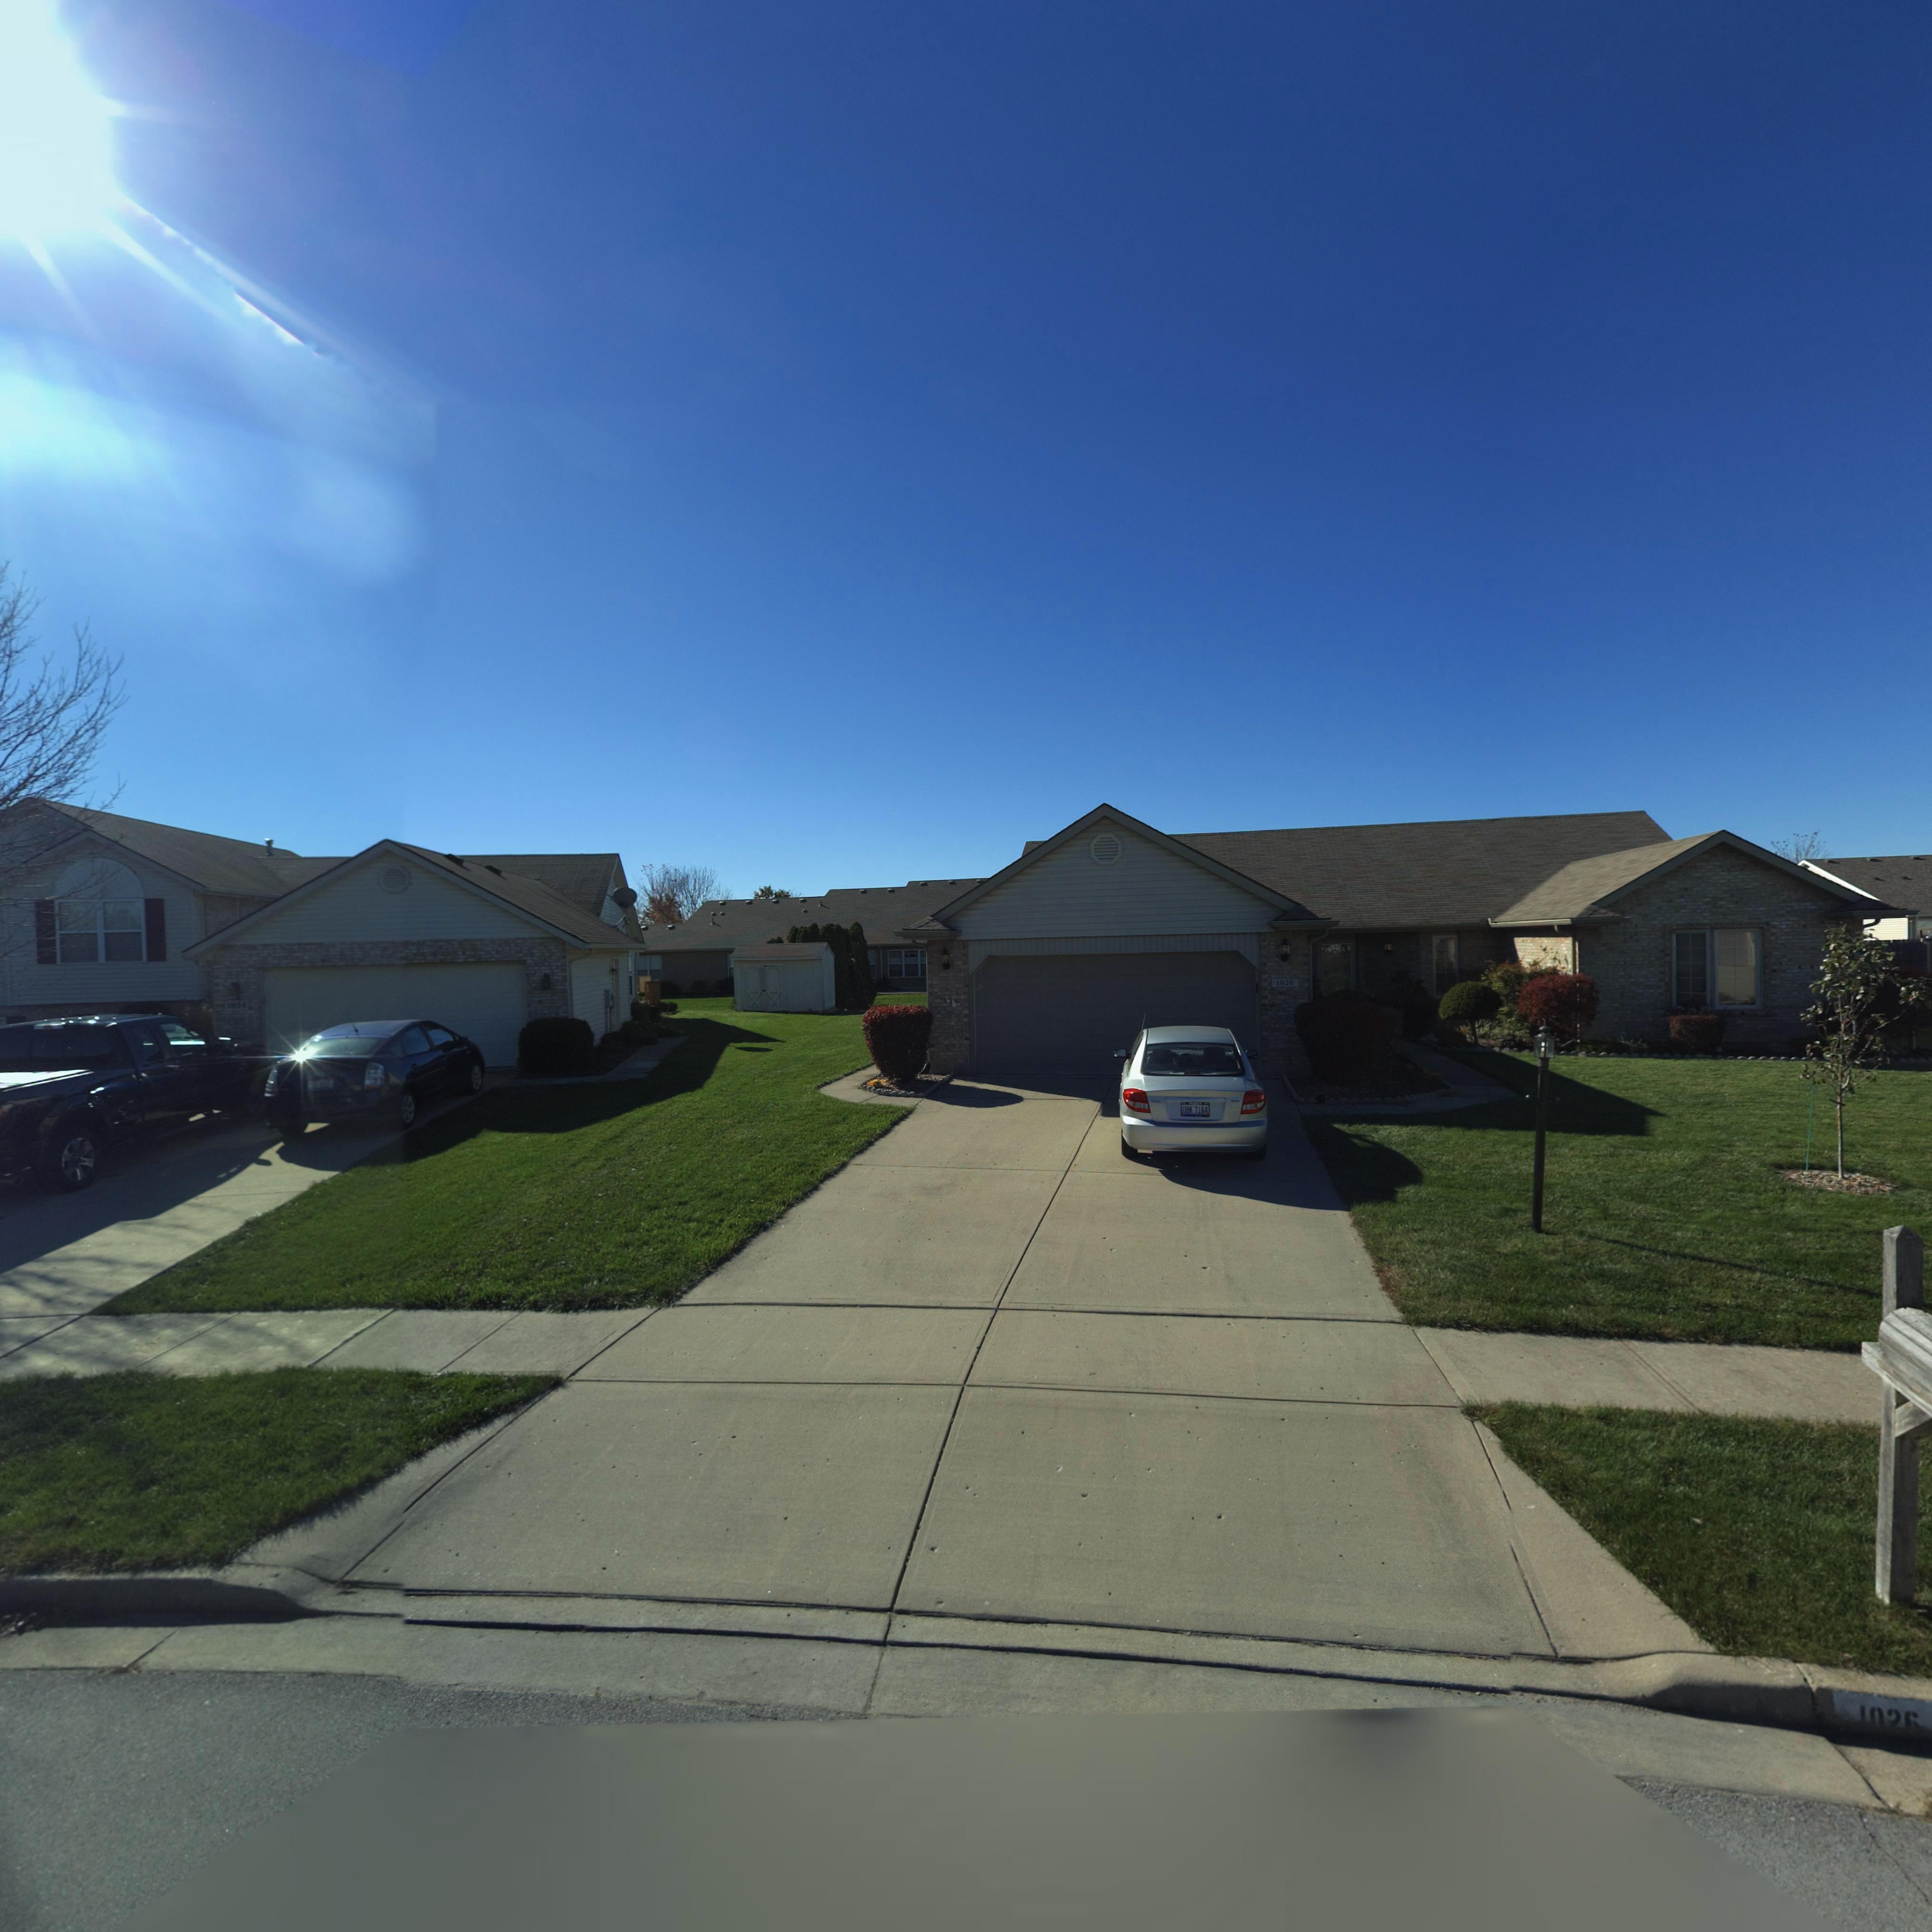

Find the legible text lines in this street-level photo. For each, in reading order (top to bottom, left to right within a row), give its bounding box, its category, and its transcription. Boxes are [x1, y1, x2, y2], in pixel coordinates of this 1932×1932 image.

[1276, 979, 1294, 986] StreetNumber: 1026